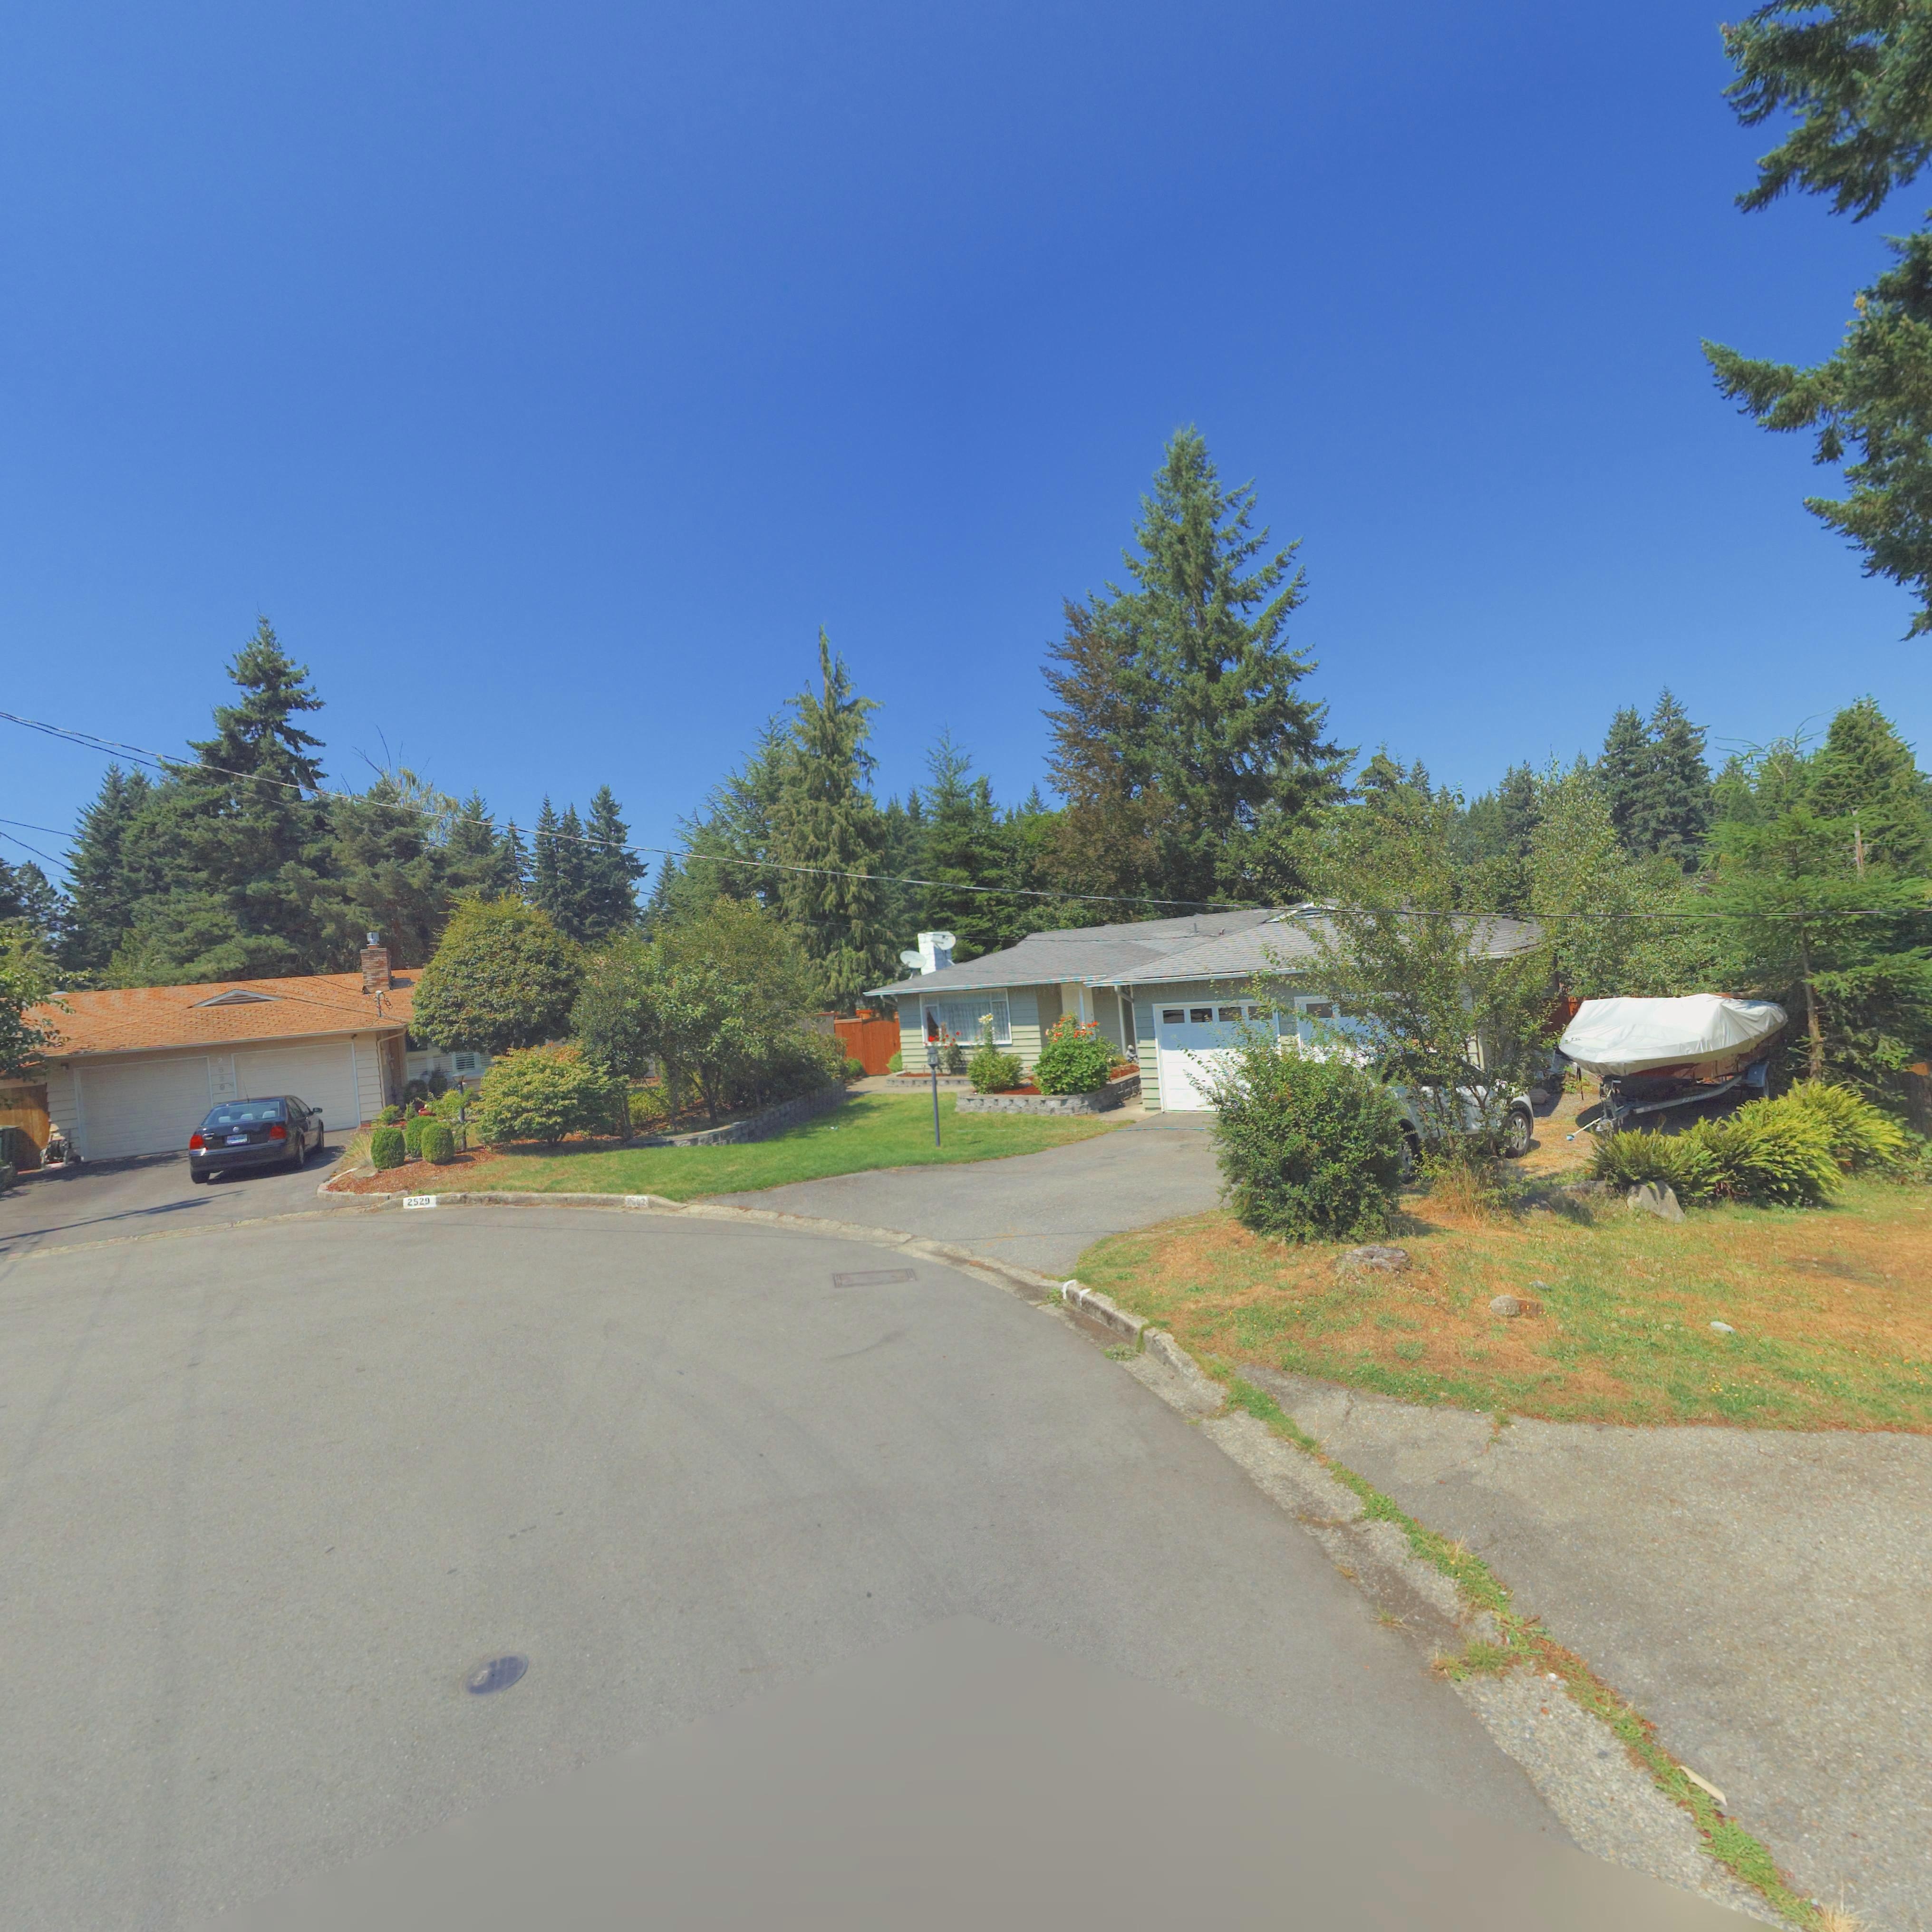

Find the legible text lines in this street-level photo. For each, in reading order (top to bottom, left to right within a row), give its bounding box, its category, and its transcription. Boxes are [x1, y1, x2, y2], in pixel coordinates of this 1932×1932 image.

[407, 1197, 430, 1206] StreetNumber: 2529